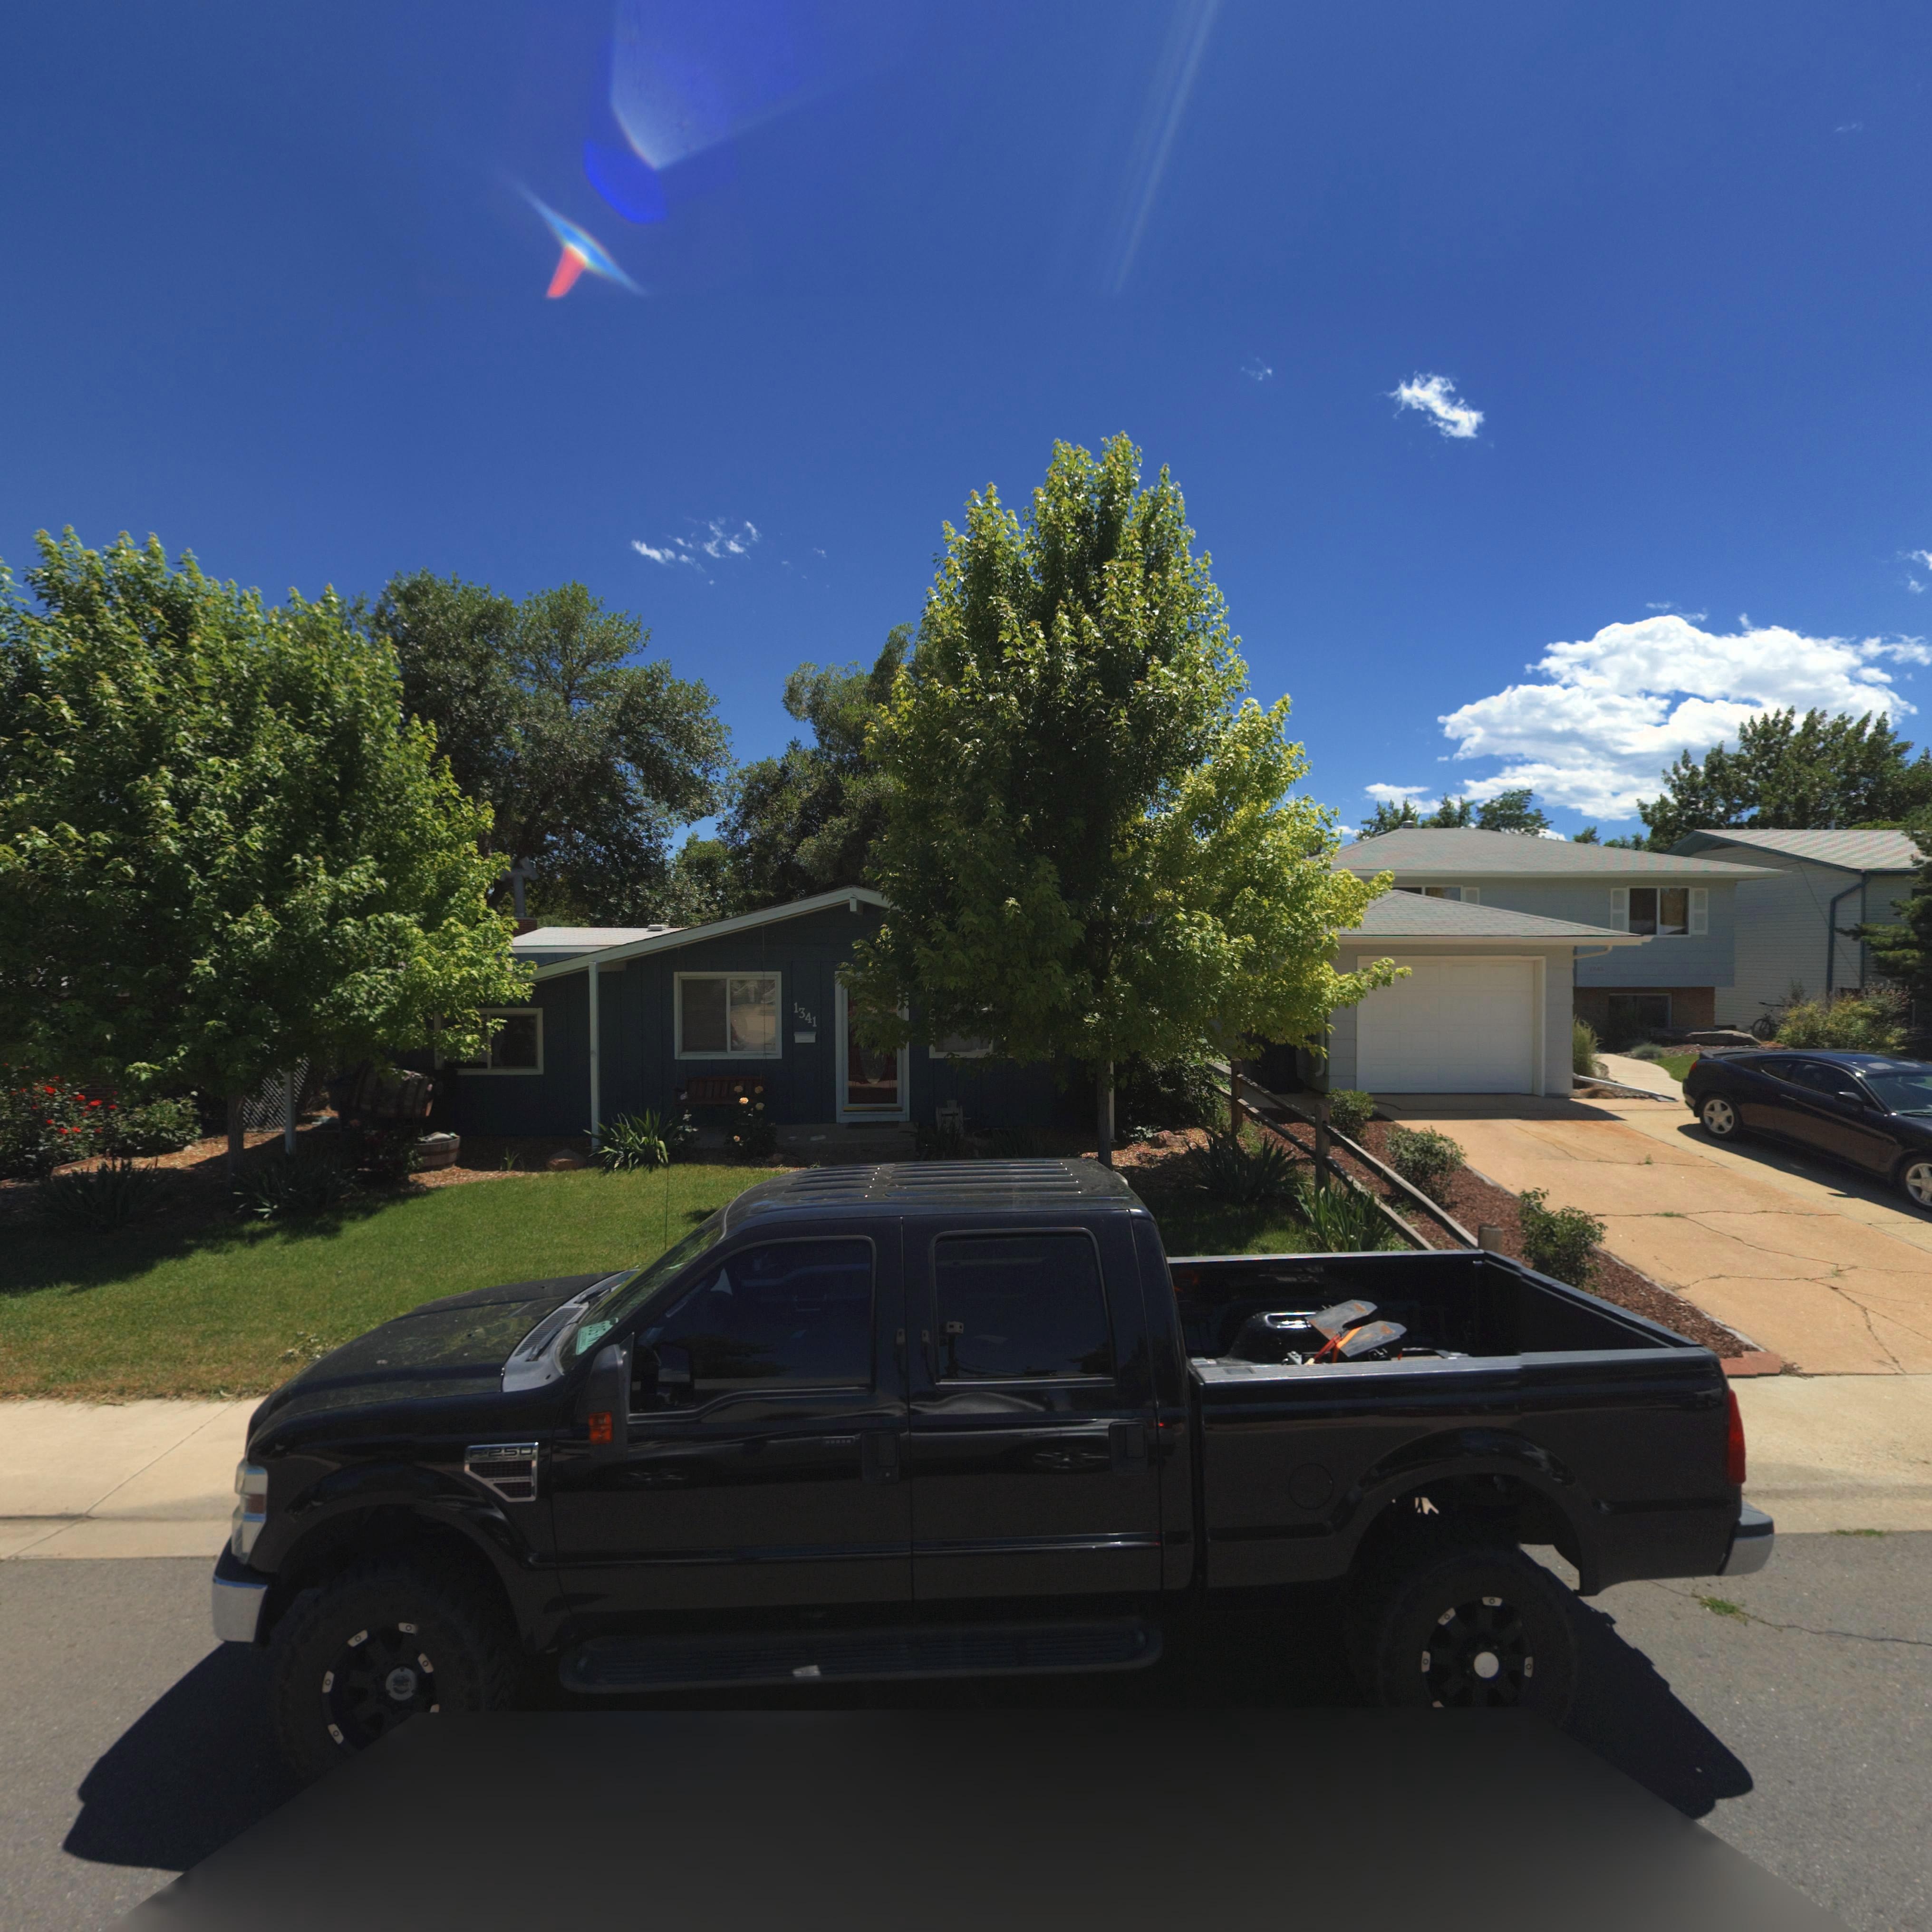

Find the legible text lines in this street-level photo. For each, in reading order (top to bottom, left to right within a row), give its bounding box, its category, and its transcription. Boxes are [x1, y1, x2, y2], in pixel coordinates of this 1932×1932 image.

[793, 1001, 817, 1027] StreetNumber: 1341